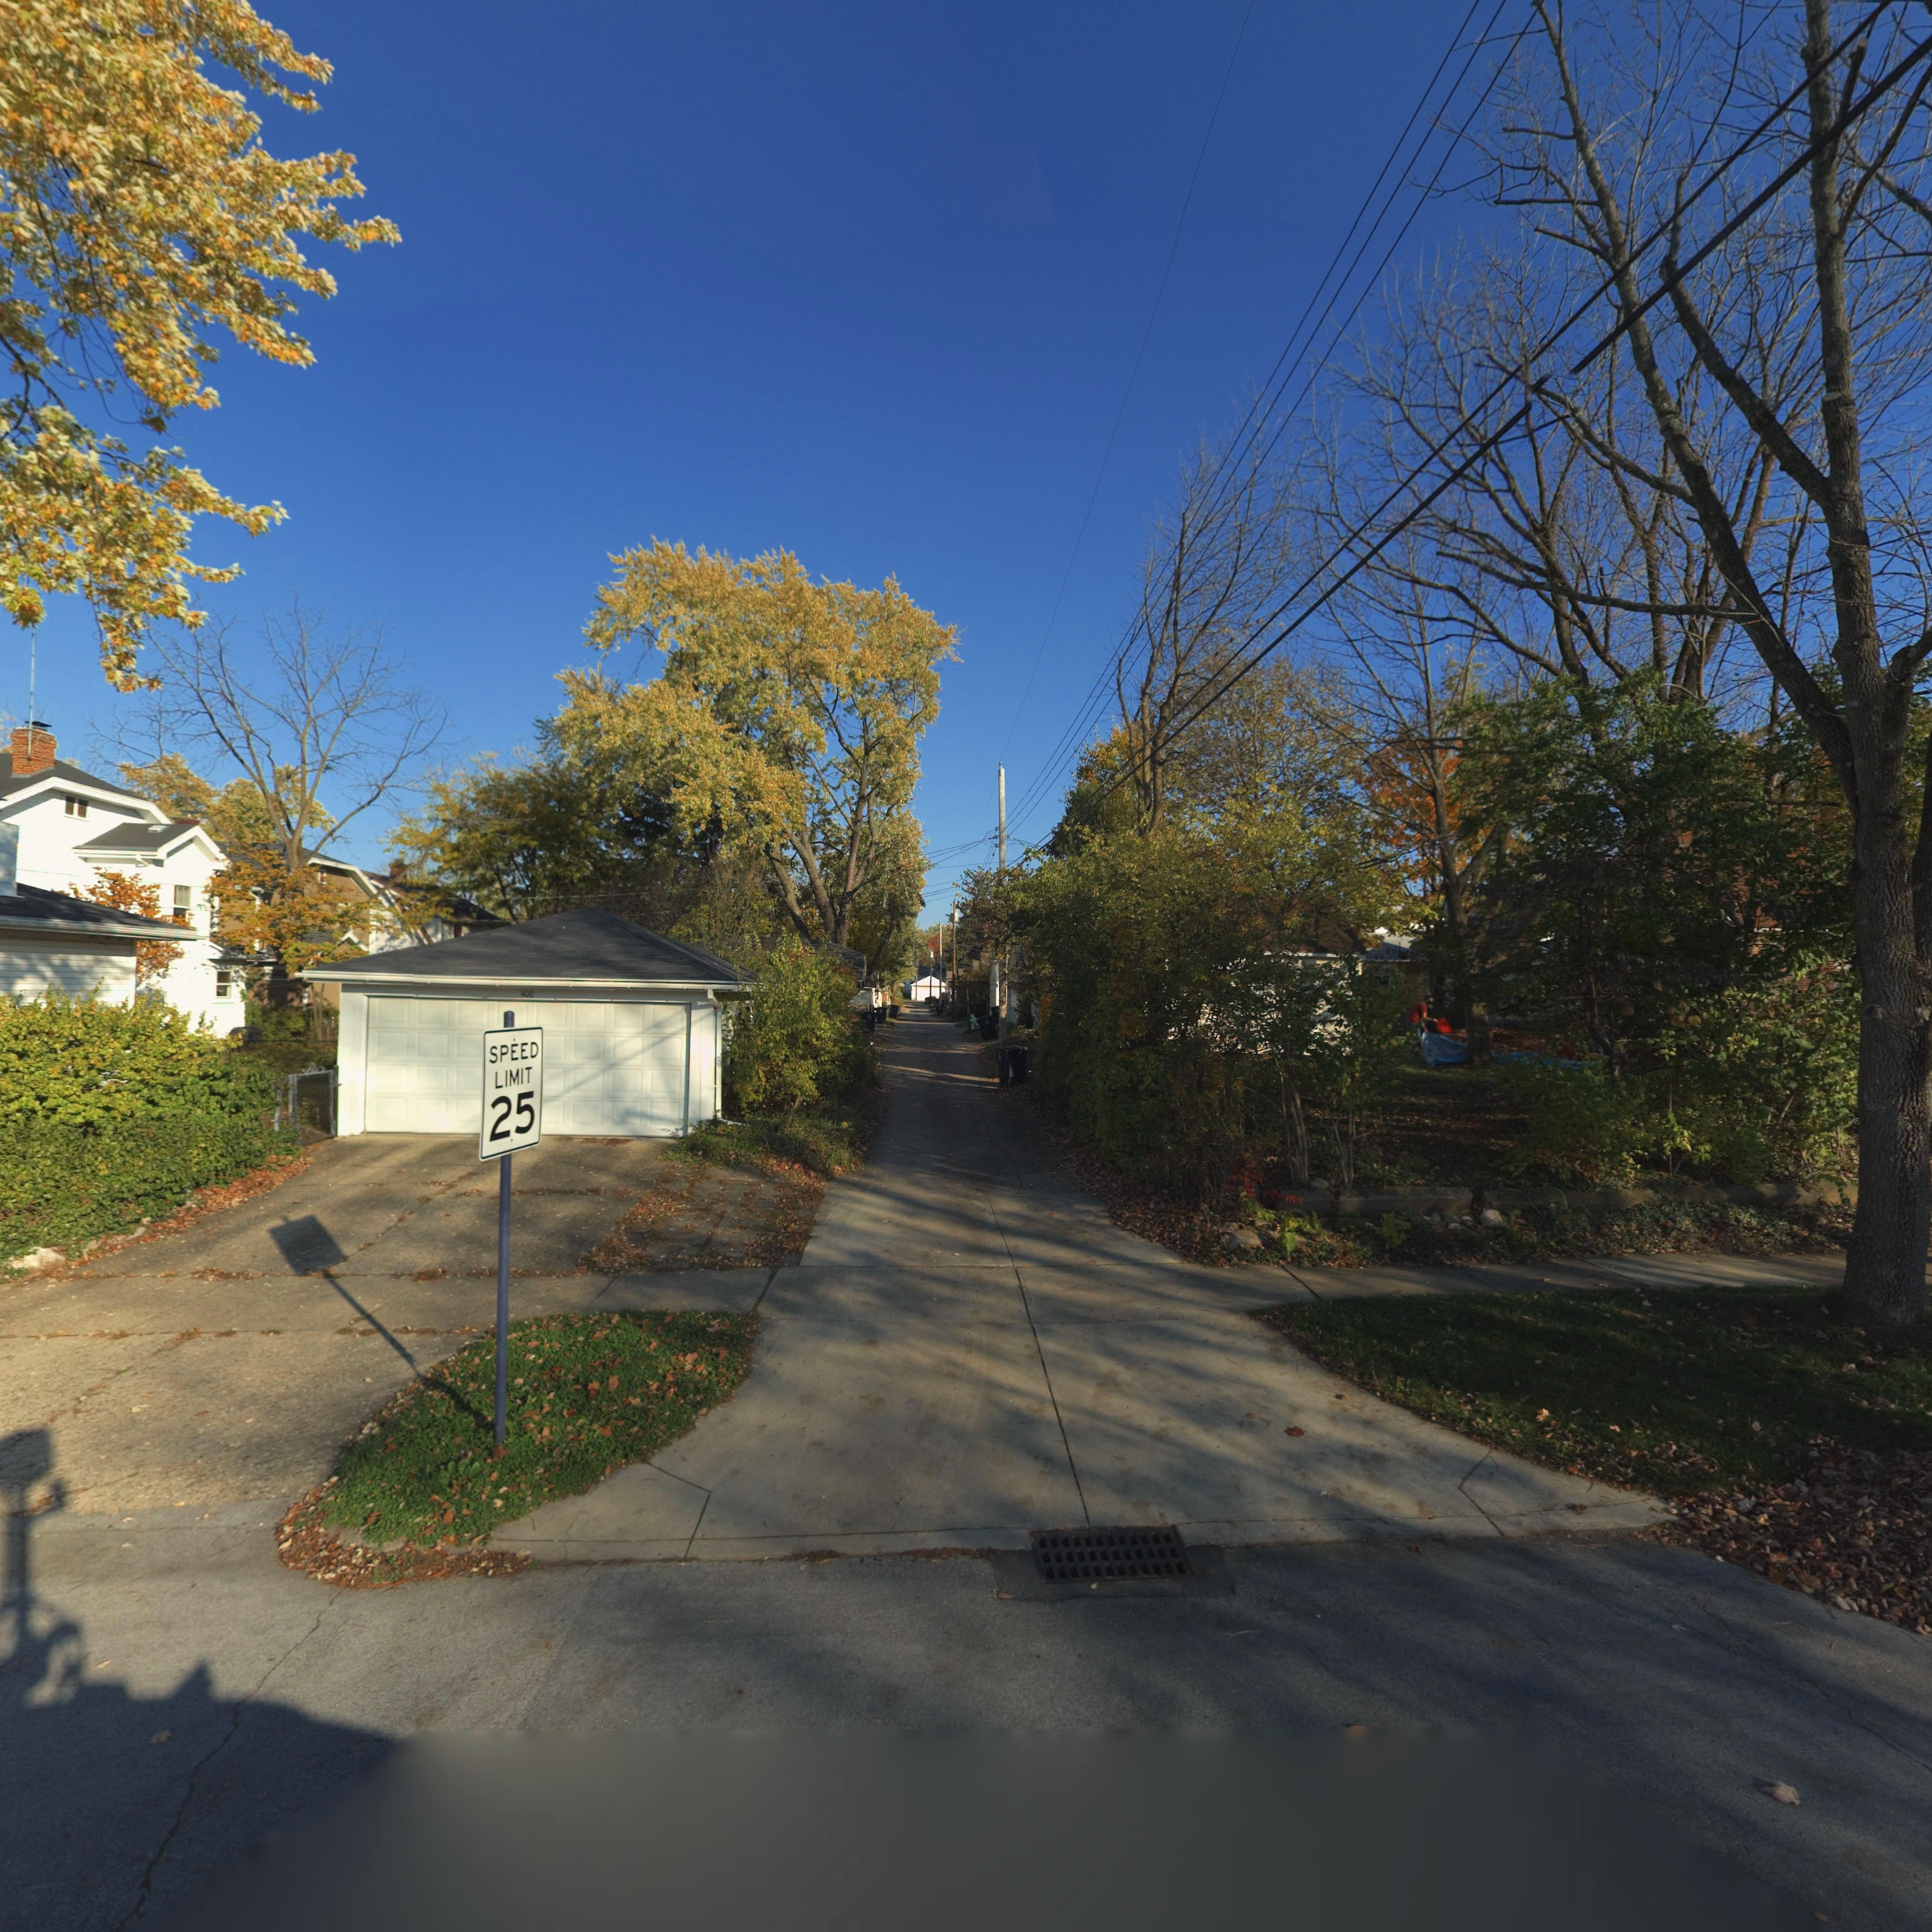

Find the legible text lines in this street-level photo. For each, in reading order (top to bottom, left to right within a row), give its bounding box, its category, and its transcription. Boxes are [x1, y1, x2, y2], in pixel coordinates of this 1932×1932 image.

[520, 990, 534, 998] StreetNumber: 400